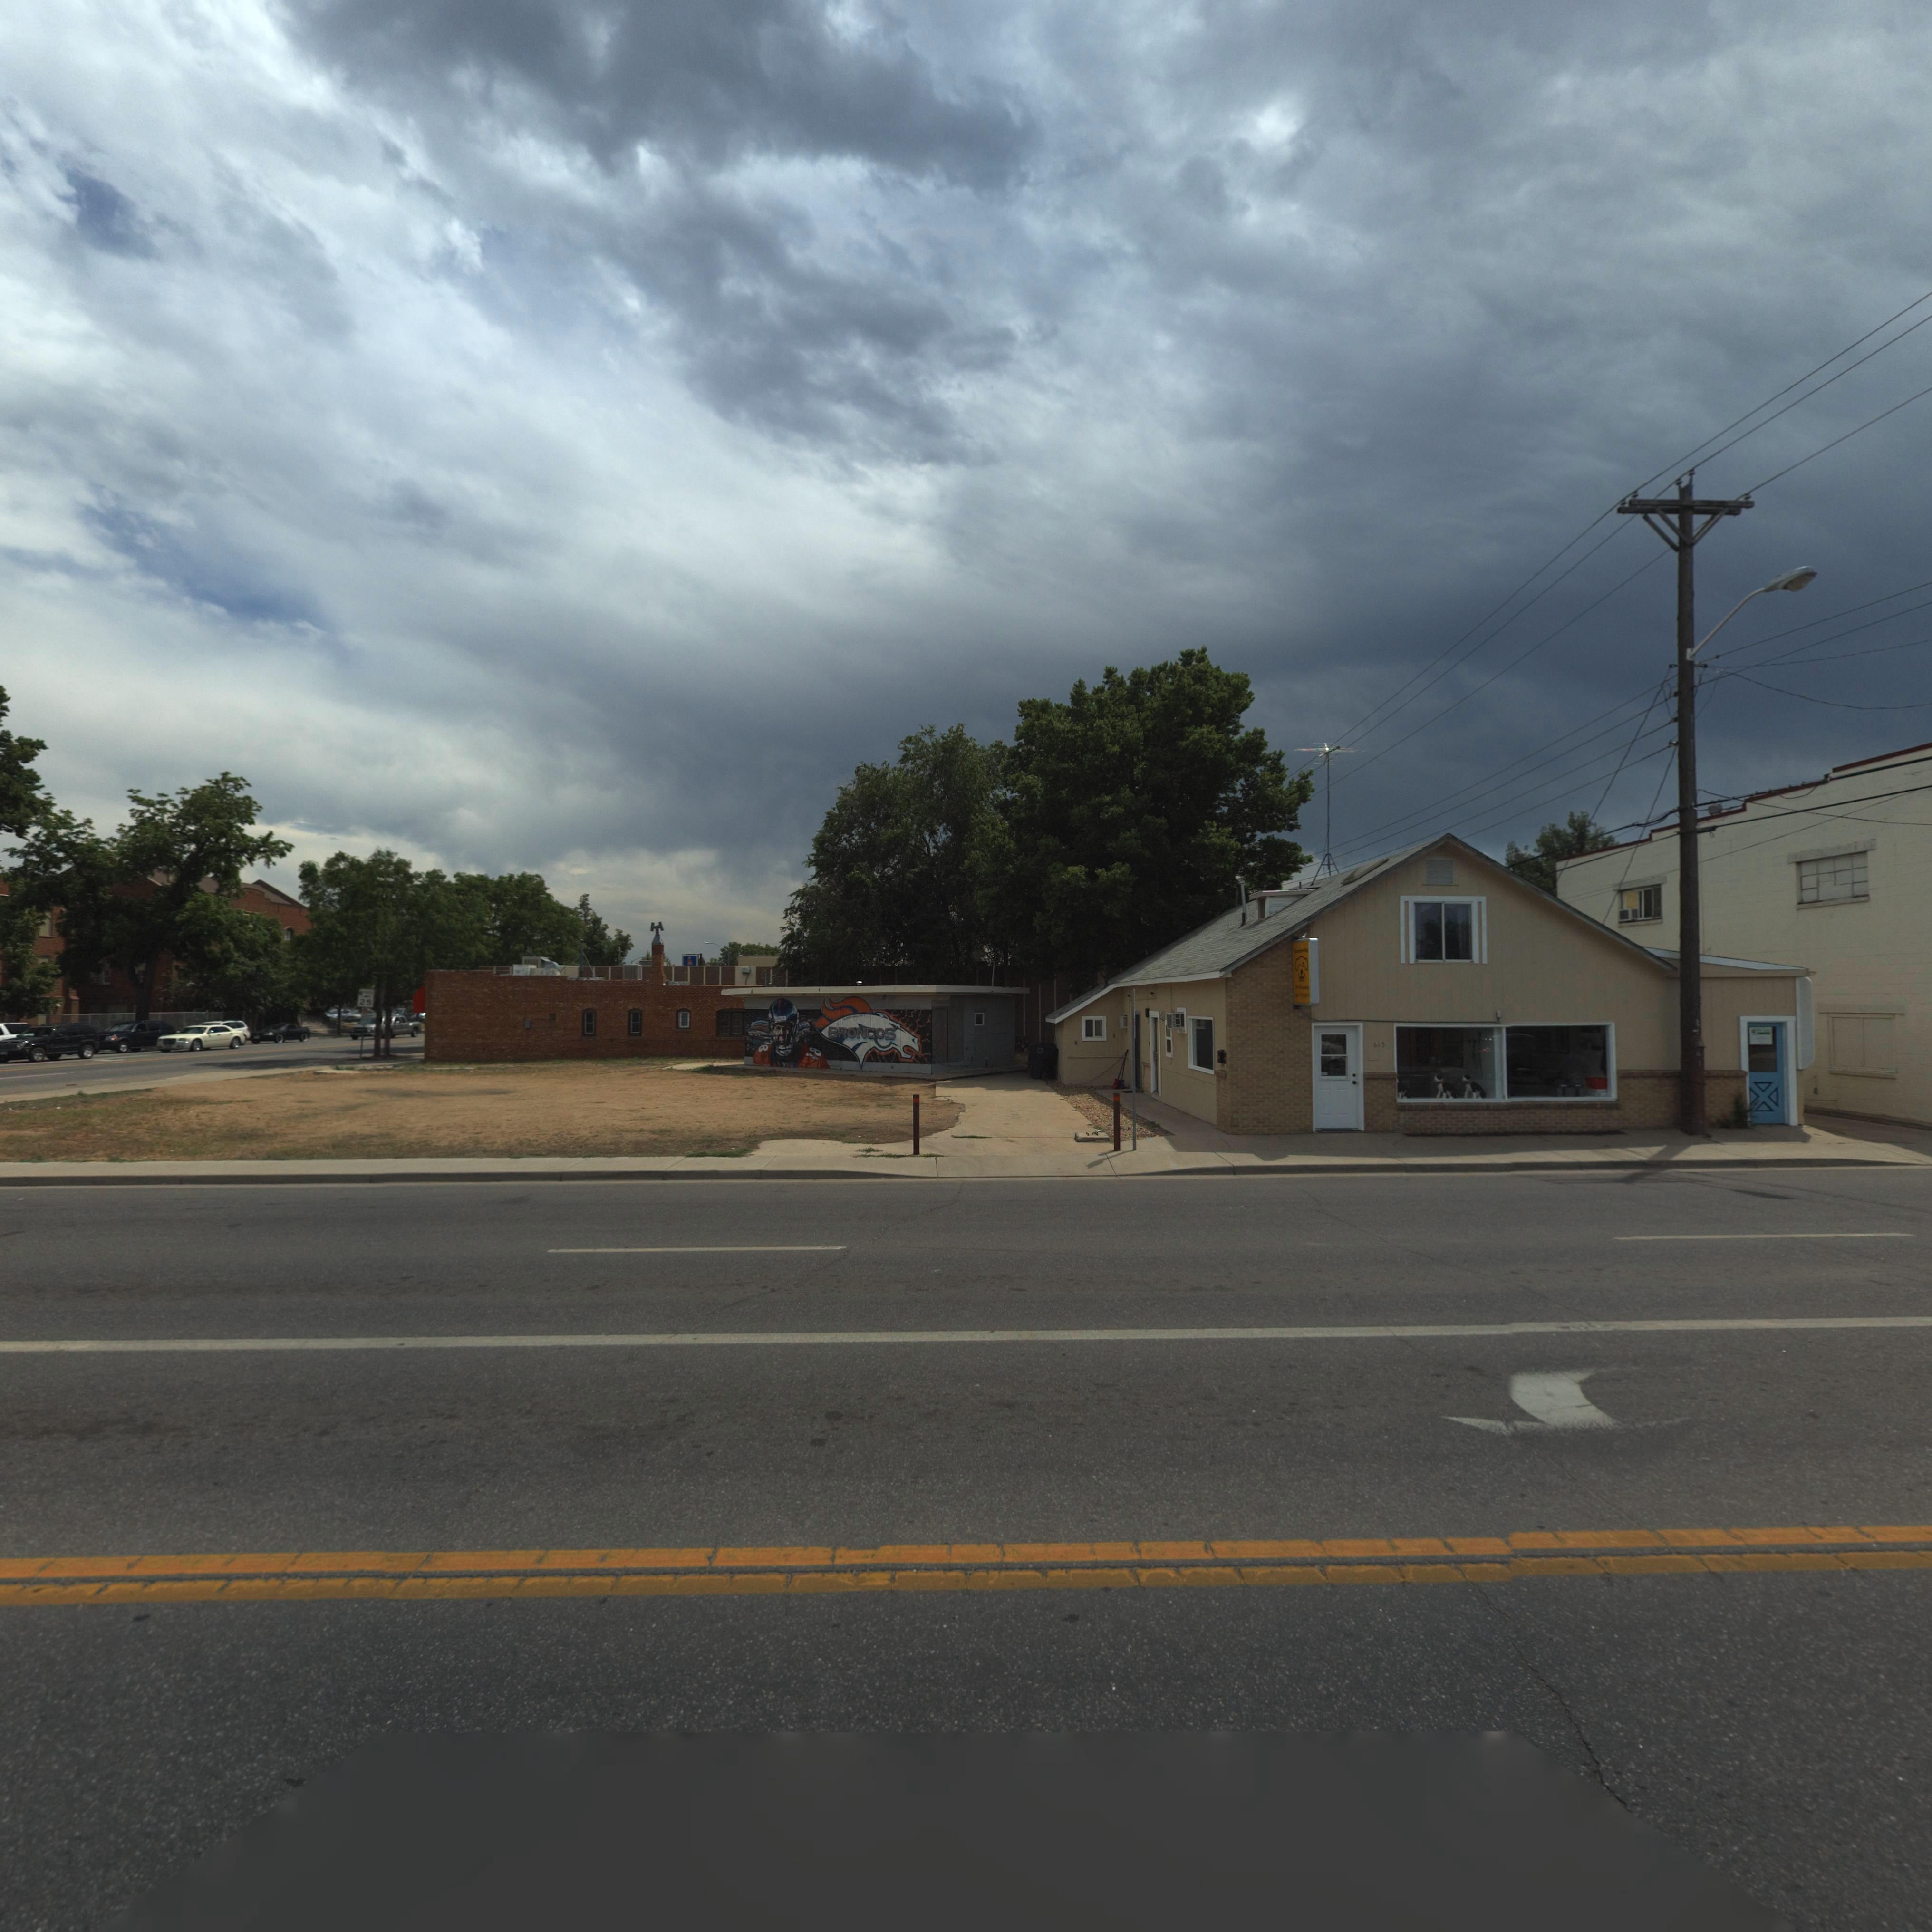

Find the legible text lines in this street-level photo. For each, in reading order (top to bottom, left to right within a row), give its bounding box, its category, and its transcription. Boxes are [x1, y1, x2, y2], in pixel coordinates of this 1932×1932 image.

[1373, 1042, 1385, 1048] StreetNumber: 615